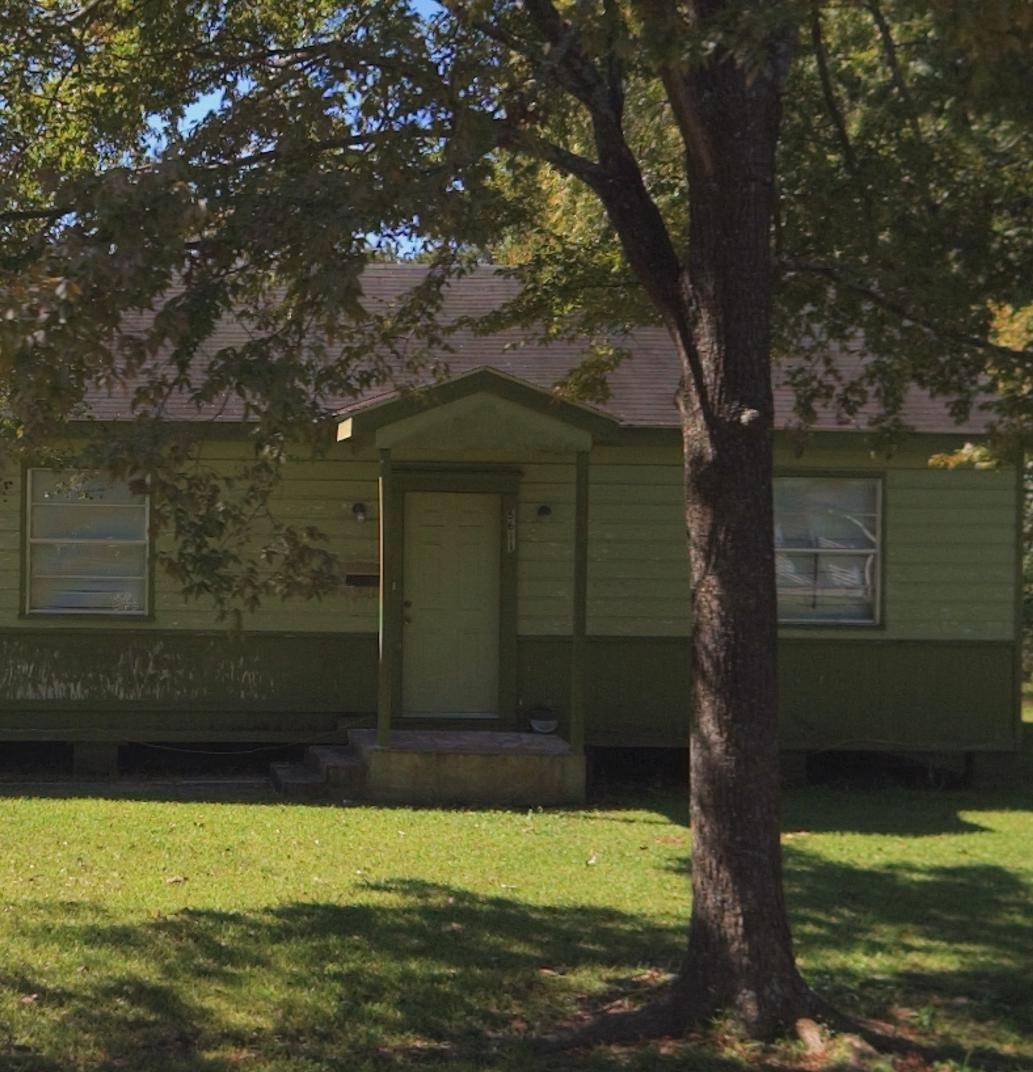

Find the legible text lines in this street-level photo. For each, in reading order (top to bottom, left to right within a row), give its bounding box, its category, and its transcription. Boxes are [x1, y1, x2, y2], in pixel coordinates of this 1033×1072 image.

[507, 507, 515, 554] StreetNumber: 5611